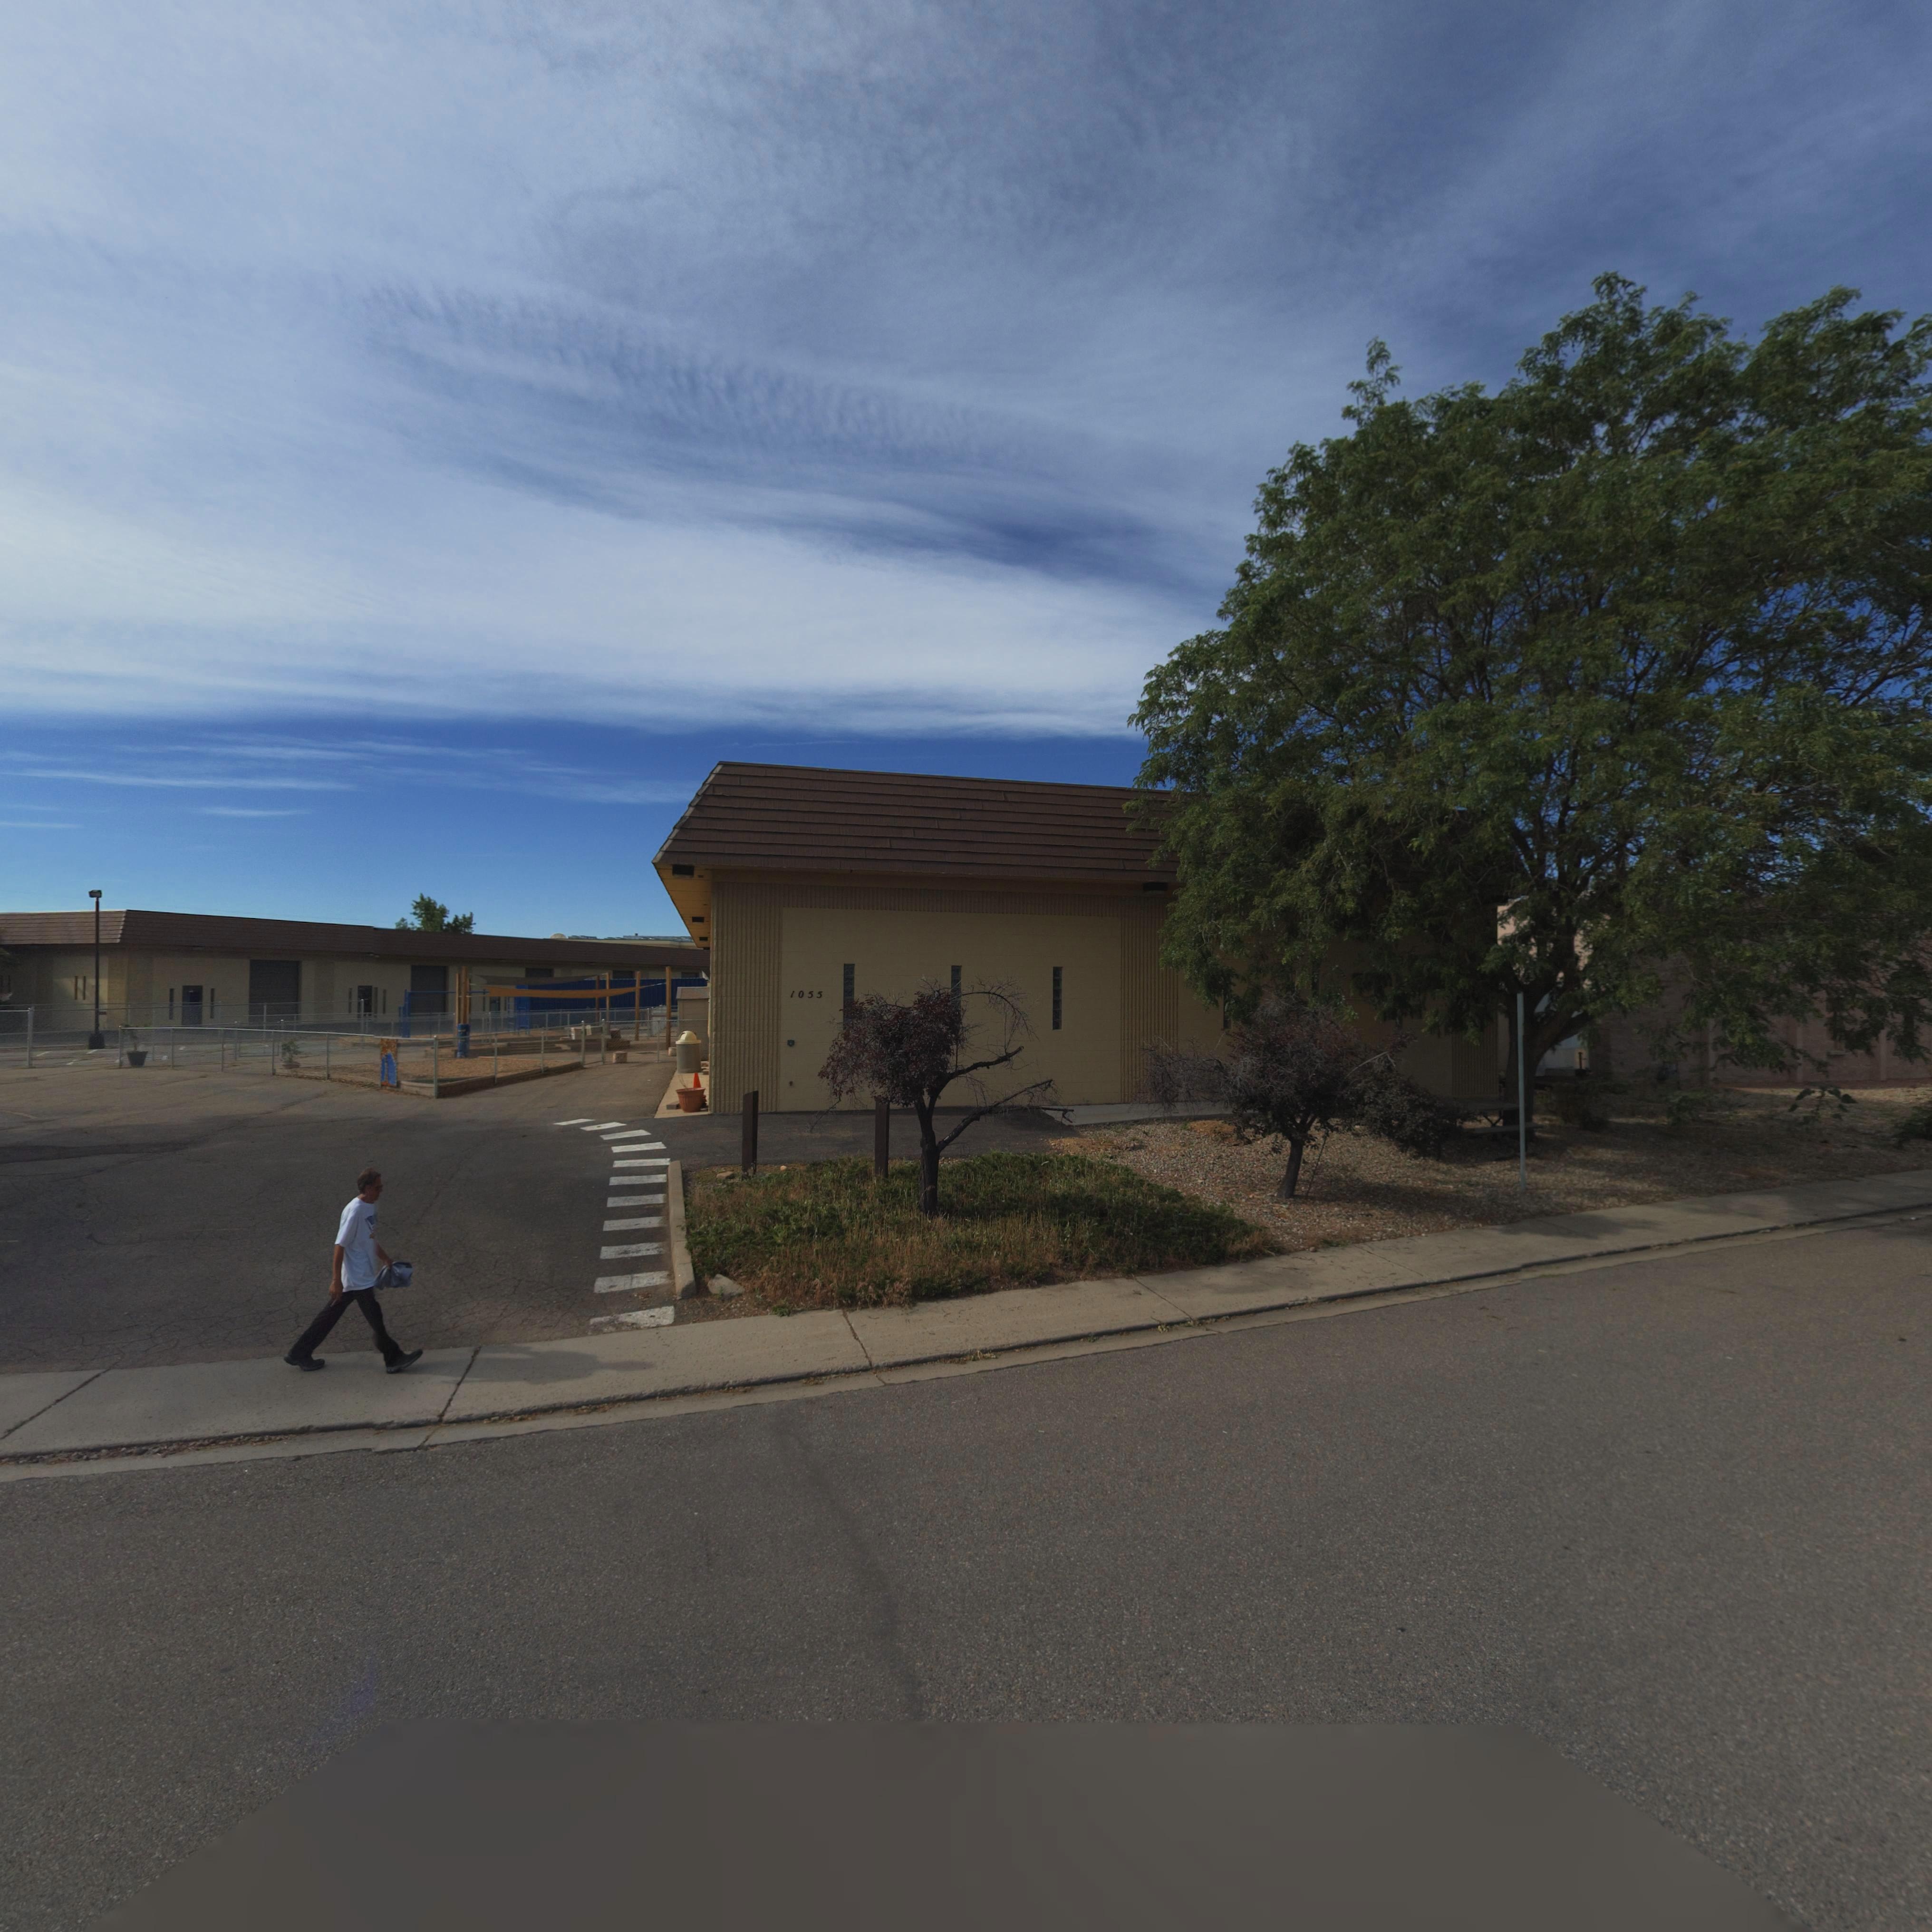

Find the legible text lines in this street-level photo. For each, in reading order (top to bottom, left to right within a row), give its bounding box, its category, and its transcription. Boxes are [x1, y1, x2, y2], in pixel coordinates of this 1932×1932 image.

[789, 990, 823, 998] StreetNumber: 1055